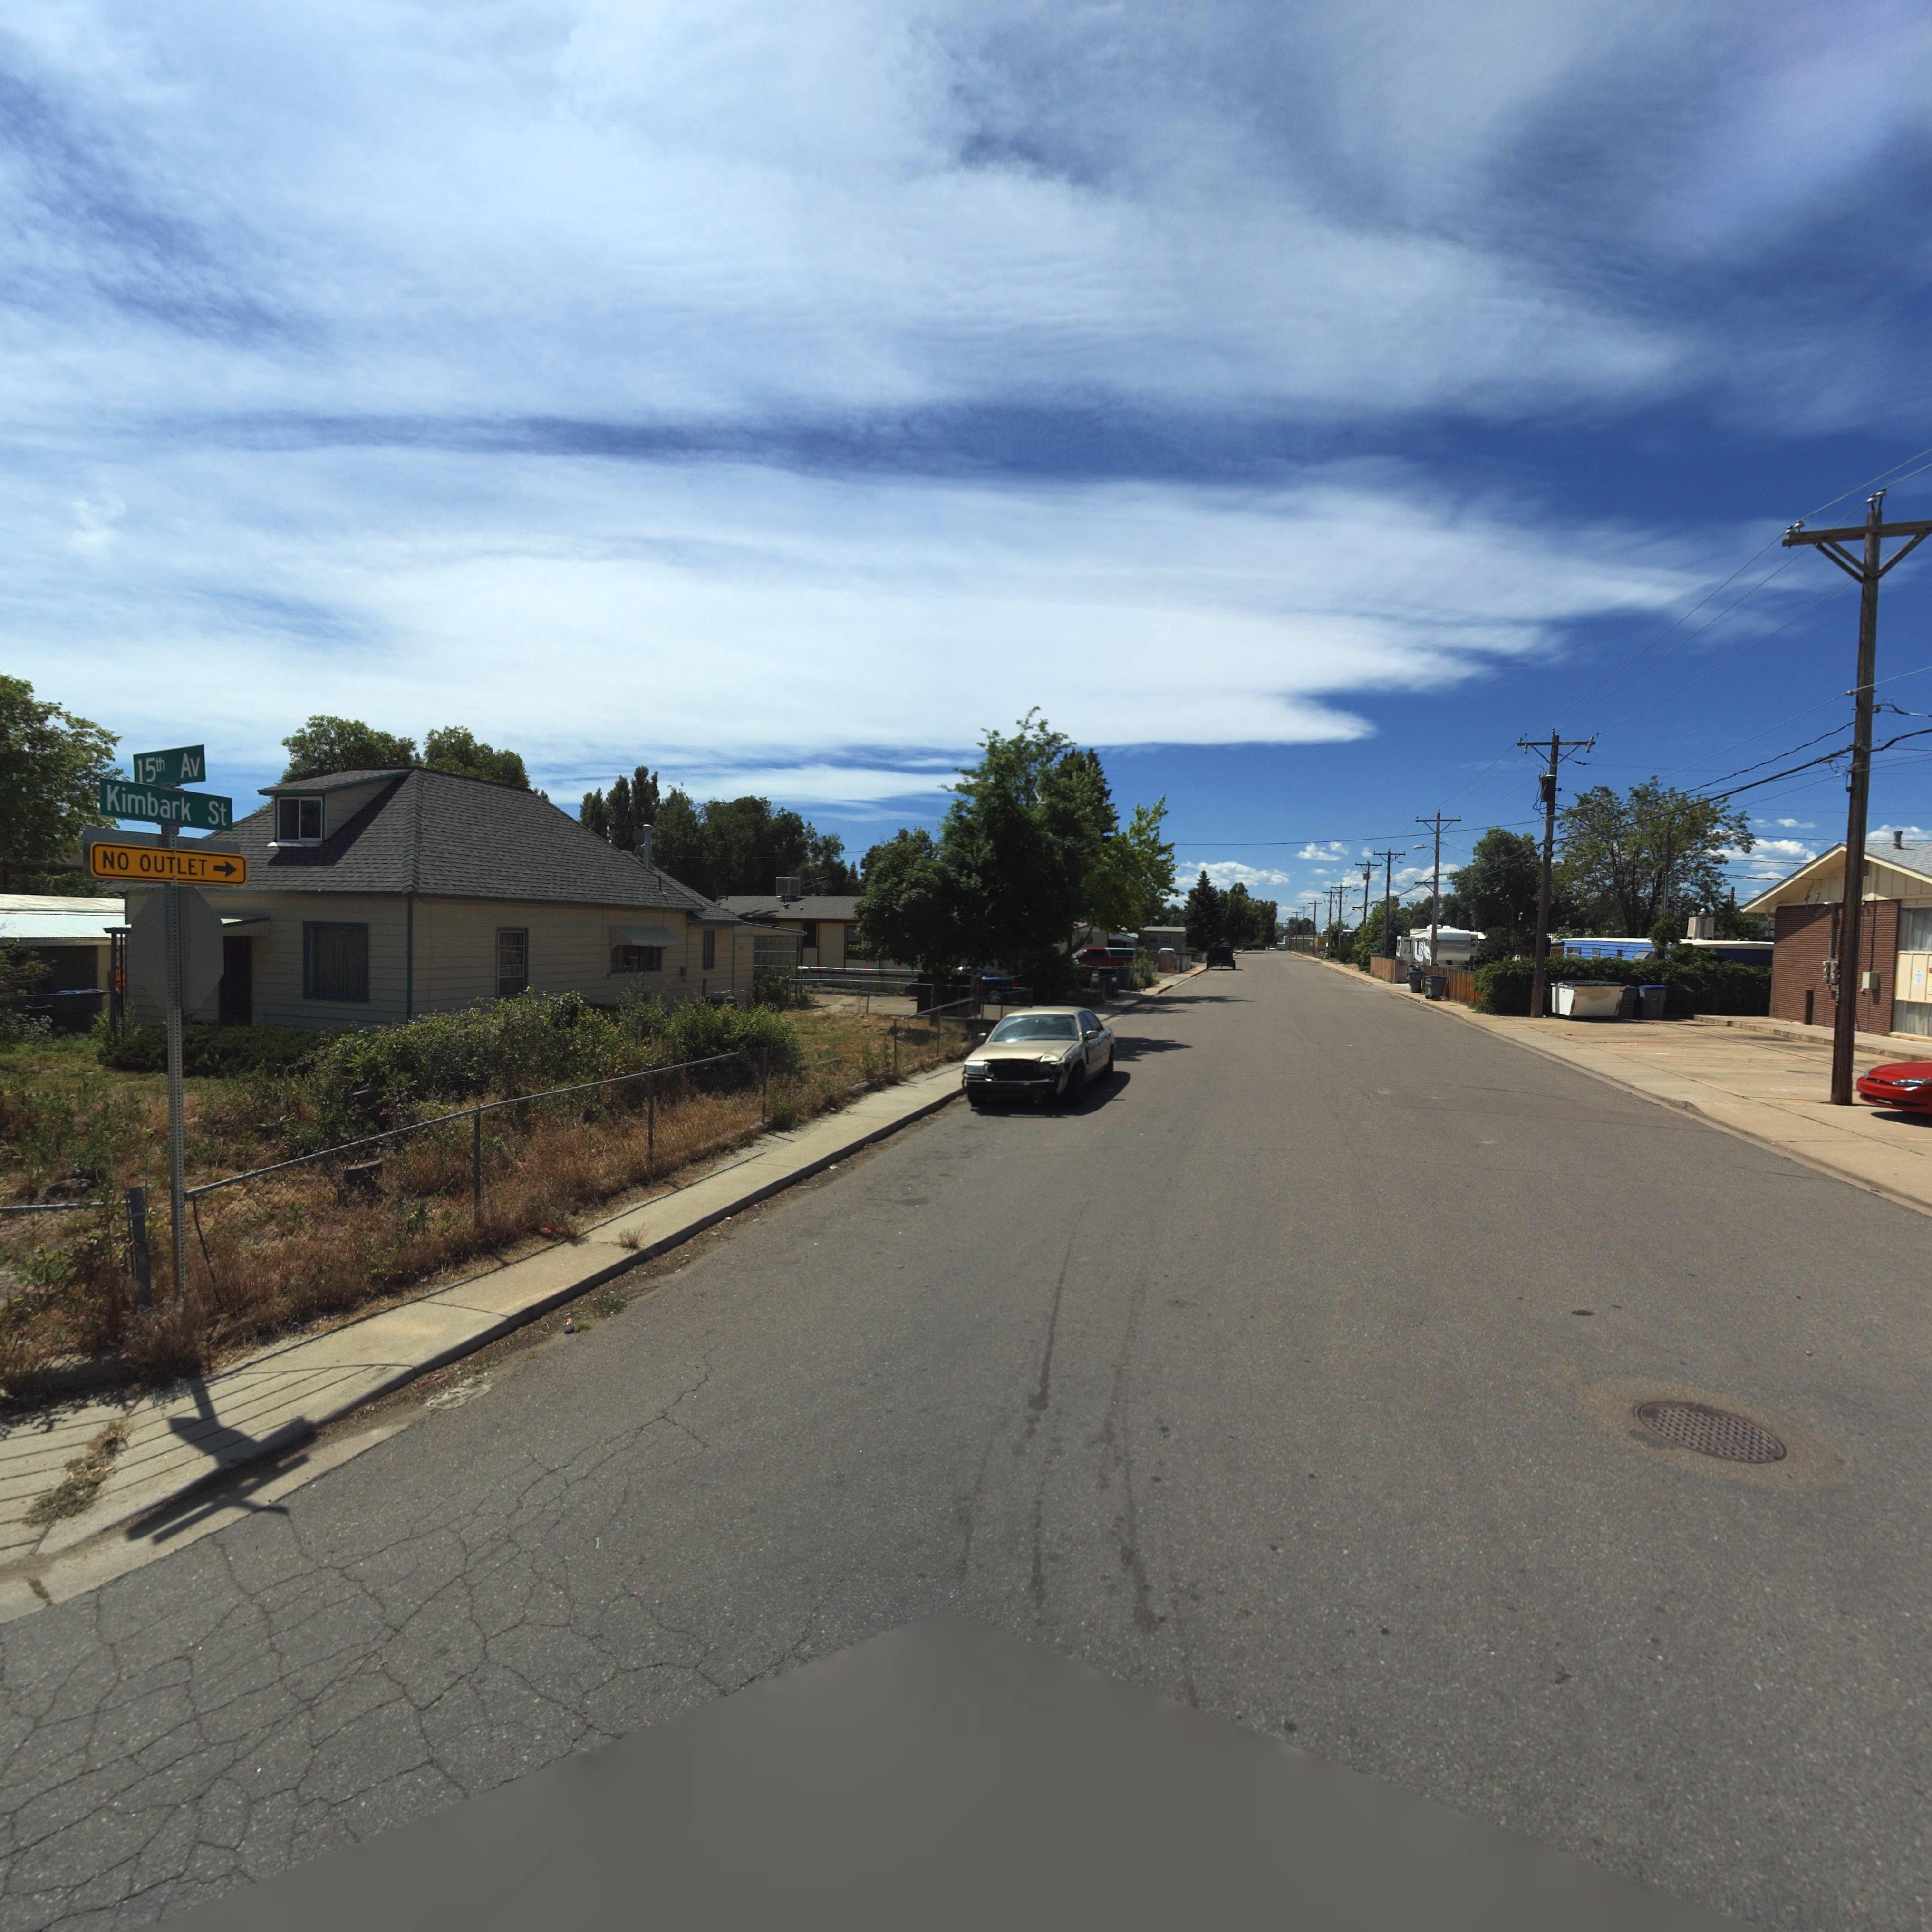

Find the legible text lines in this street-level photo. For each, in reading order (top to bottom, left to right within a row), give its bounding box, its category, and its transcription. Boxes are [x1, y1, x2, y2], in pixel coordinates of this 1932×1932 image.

[136, 751, 202, 784] StreetName: 15th Av
[105, 782, 227, 827] StreetName: Kimbark St